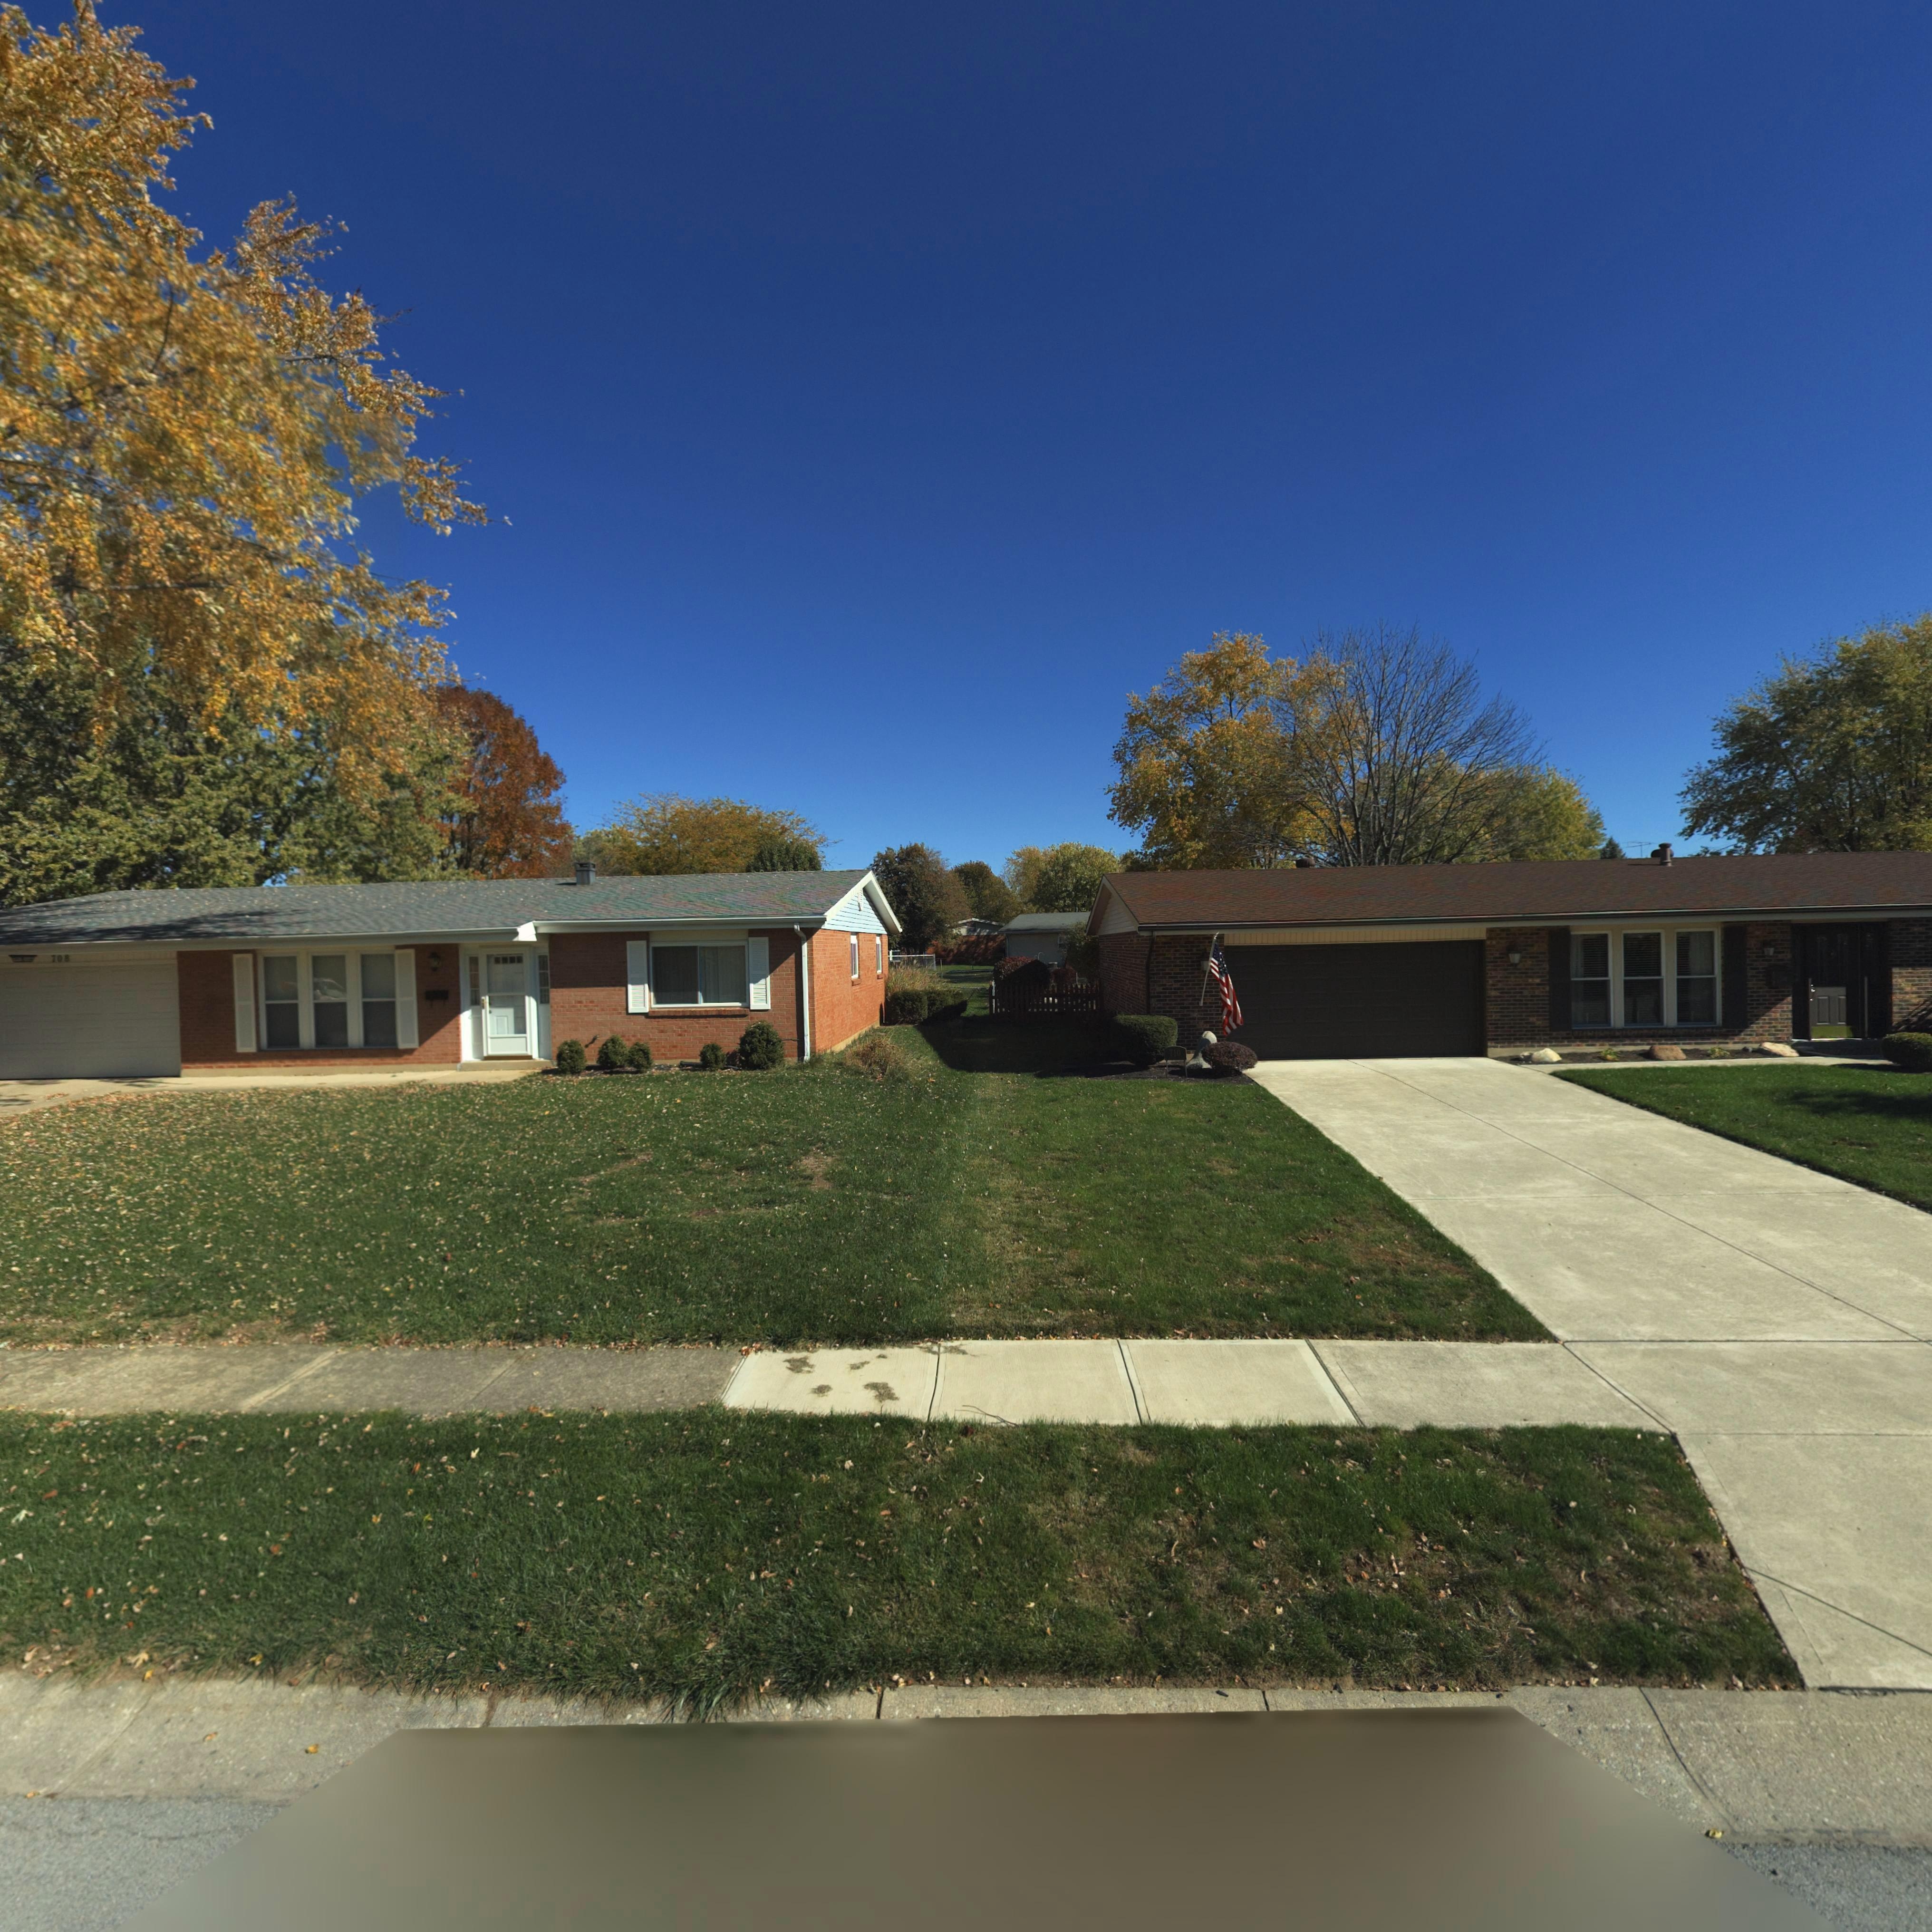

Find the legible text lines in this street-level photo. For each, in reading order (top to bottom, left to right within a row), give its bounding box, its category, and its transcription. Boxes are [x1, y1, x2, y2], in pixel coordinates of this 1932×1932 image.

[50, 954, 70, 963] StreetNumber: 708